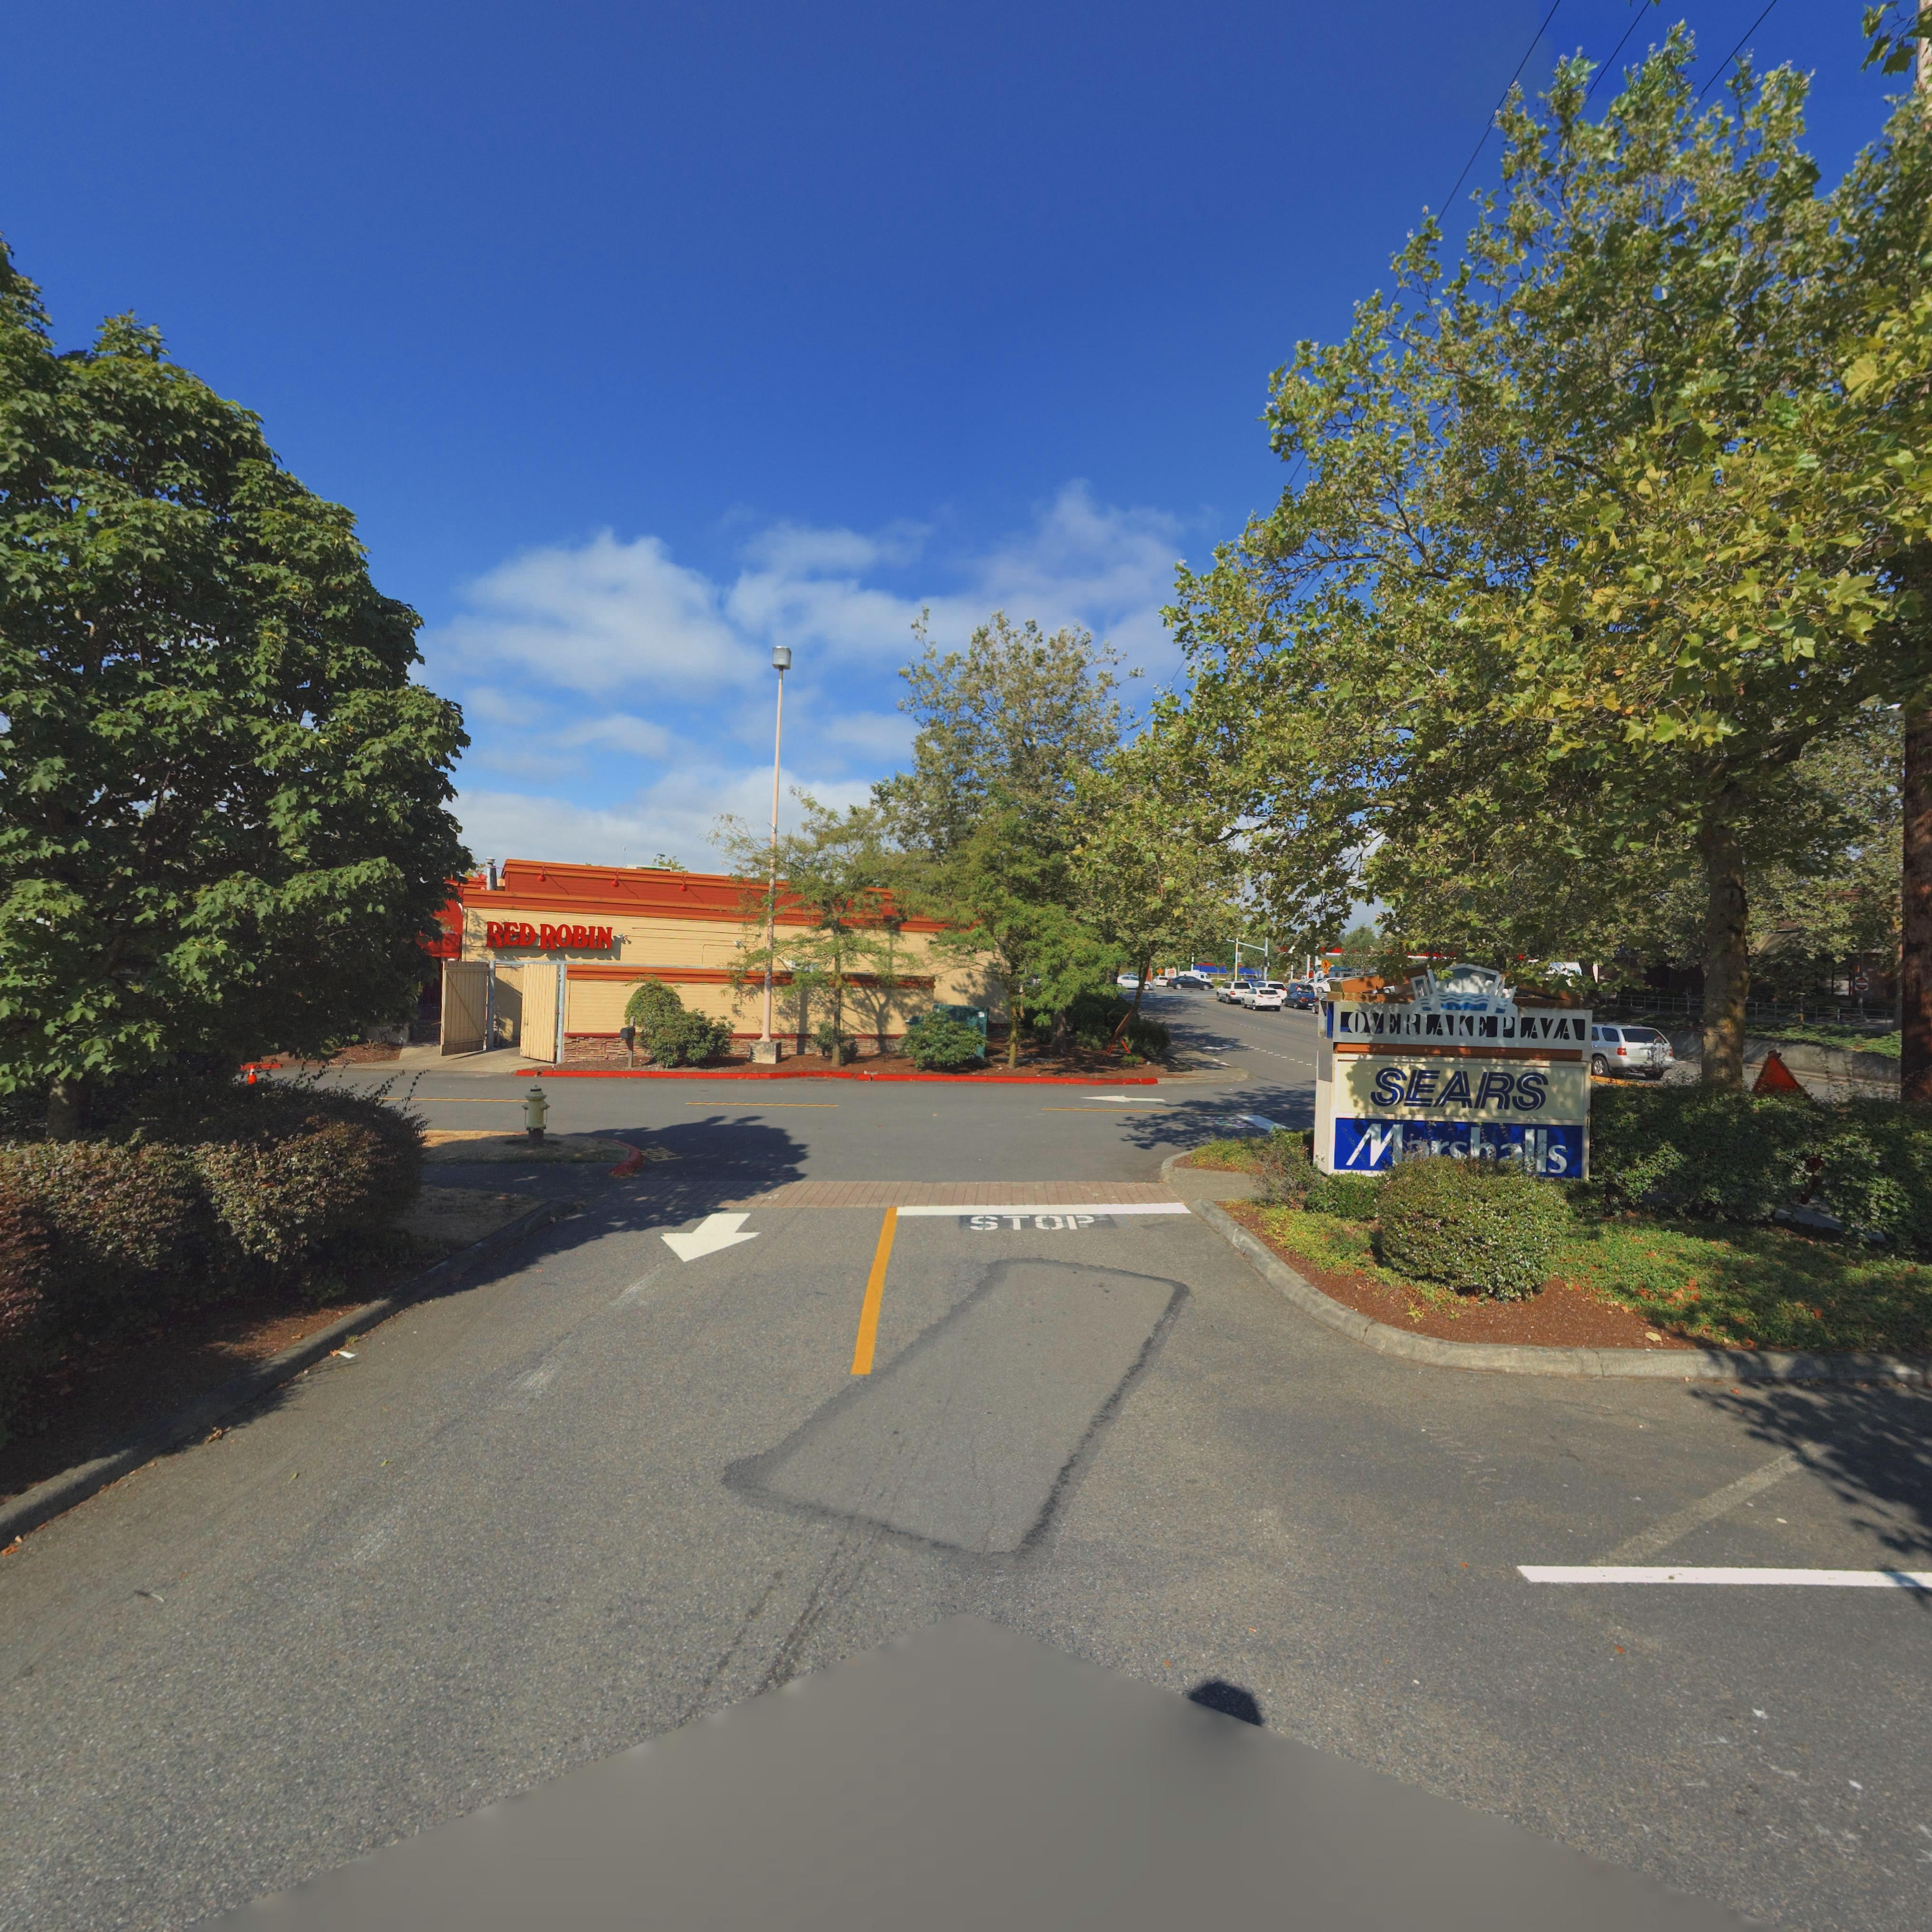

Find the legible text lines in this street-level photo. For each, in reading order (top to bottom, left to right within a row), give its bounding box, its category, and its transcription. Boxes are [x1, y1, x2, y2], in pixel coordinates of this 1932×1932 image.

[485, 920, 614, 951] BusinessName: RED ROBIN
[1370, 1066, 1548, 1111] BusinessName: SEARS
[1345, 1122, 1568, 1175] BusinessName: M*****lls